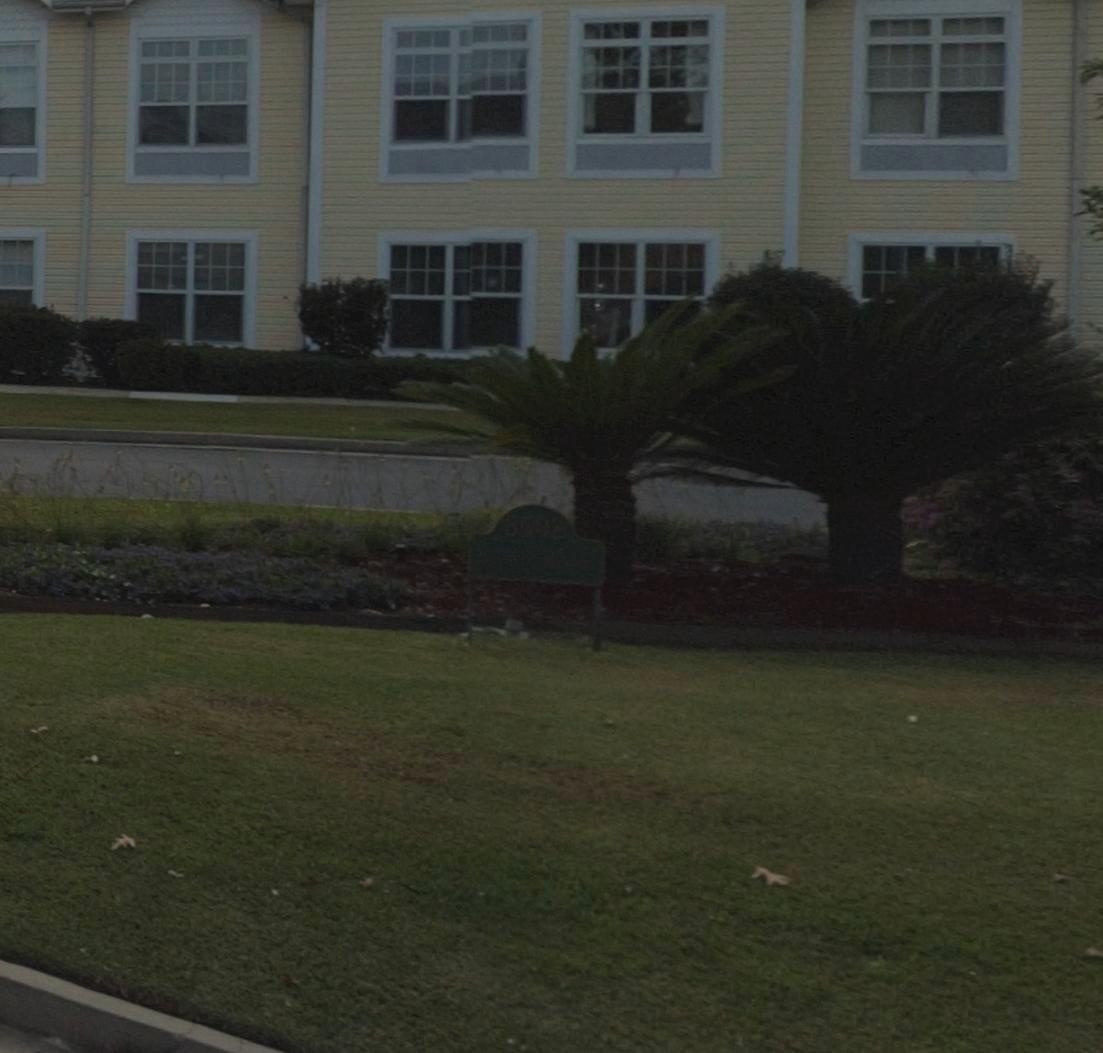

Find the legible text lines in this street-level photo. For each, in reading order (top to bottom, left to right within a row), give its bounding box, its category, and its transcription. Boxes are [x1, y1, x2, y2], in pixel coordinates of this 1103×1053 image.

[497, 512, 568, 544] StreetNumber: 85*2